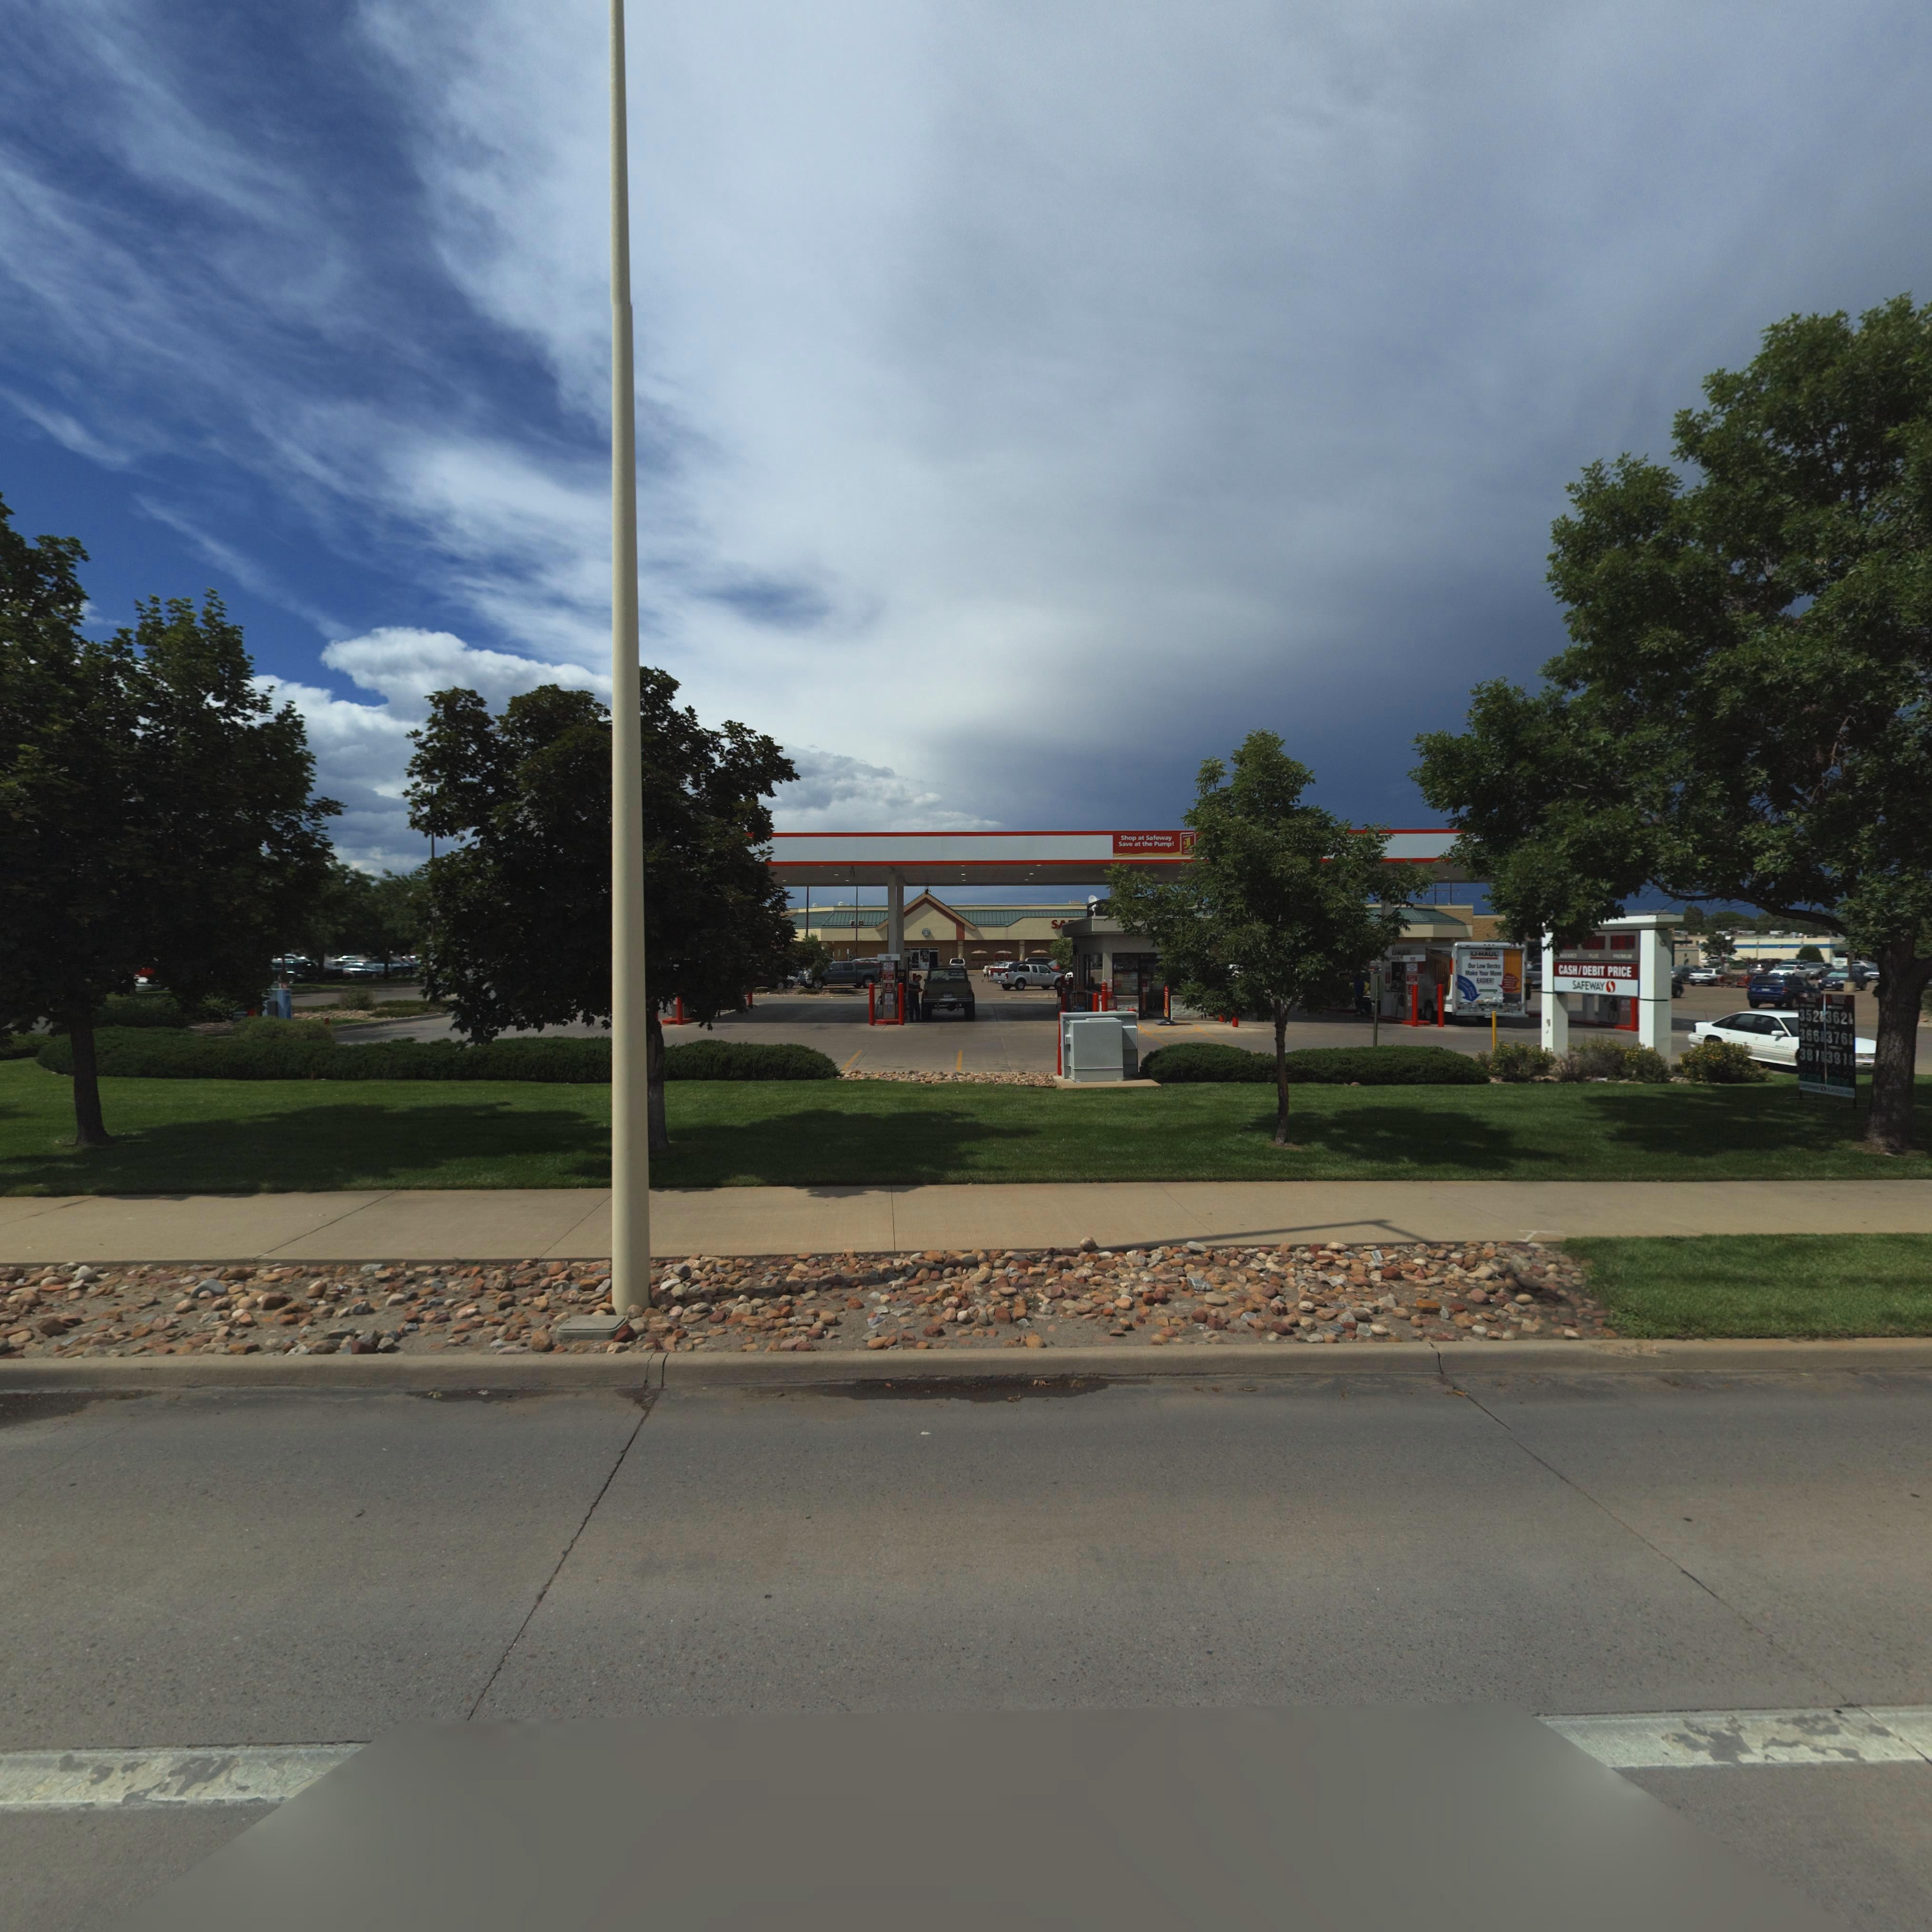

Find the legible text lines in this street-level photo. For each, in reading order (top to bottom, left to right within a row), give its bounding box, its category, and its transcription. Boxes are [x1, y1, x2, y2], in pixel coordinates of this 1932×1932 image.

[1051, 919, 1058, 929] BusinessName: S
[1572, 979, 1605, 991] BusinessName: SAFEWAY